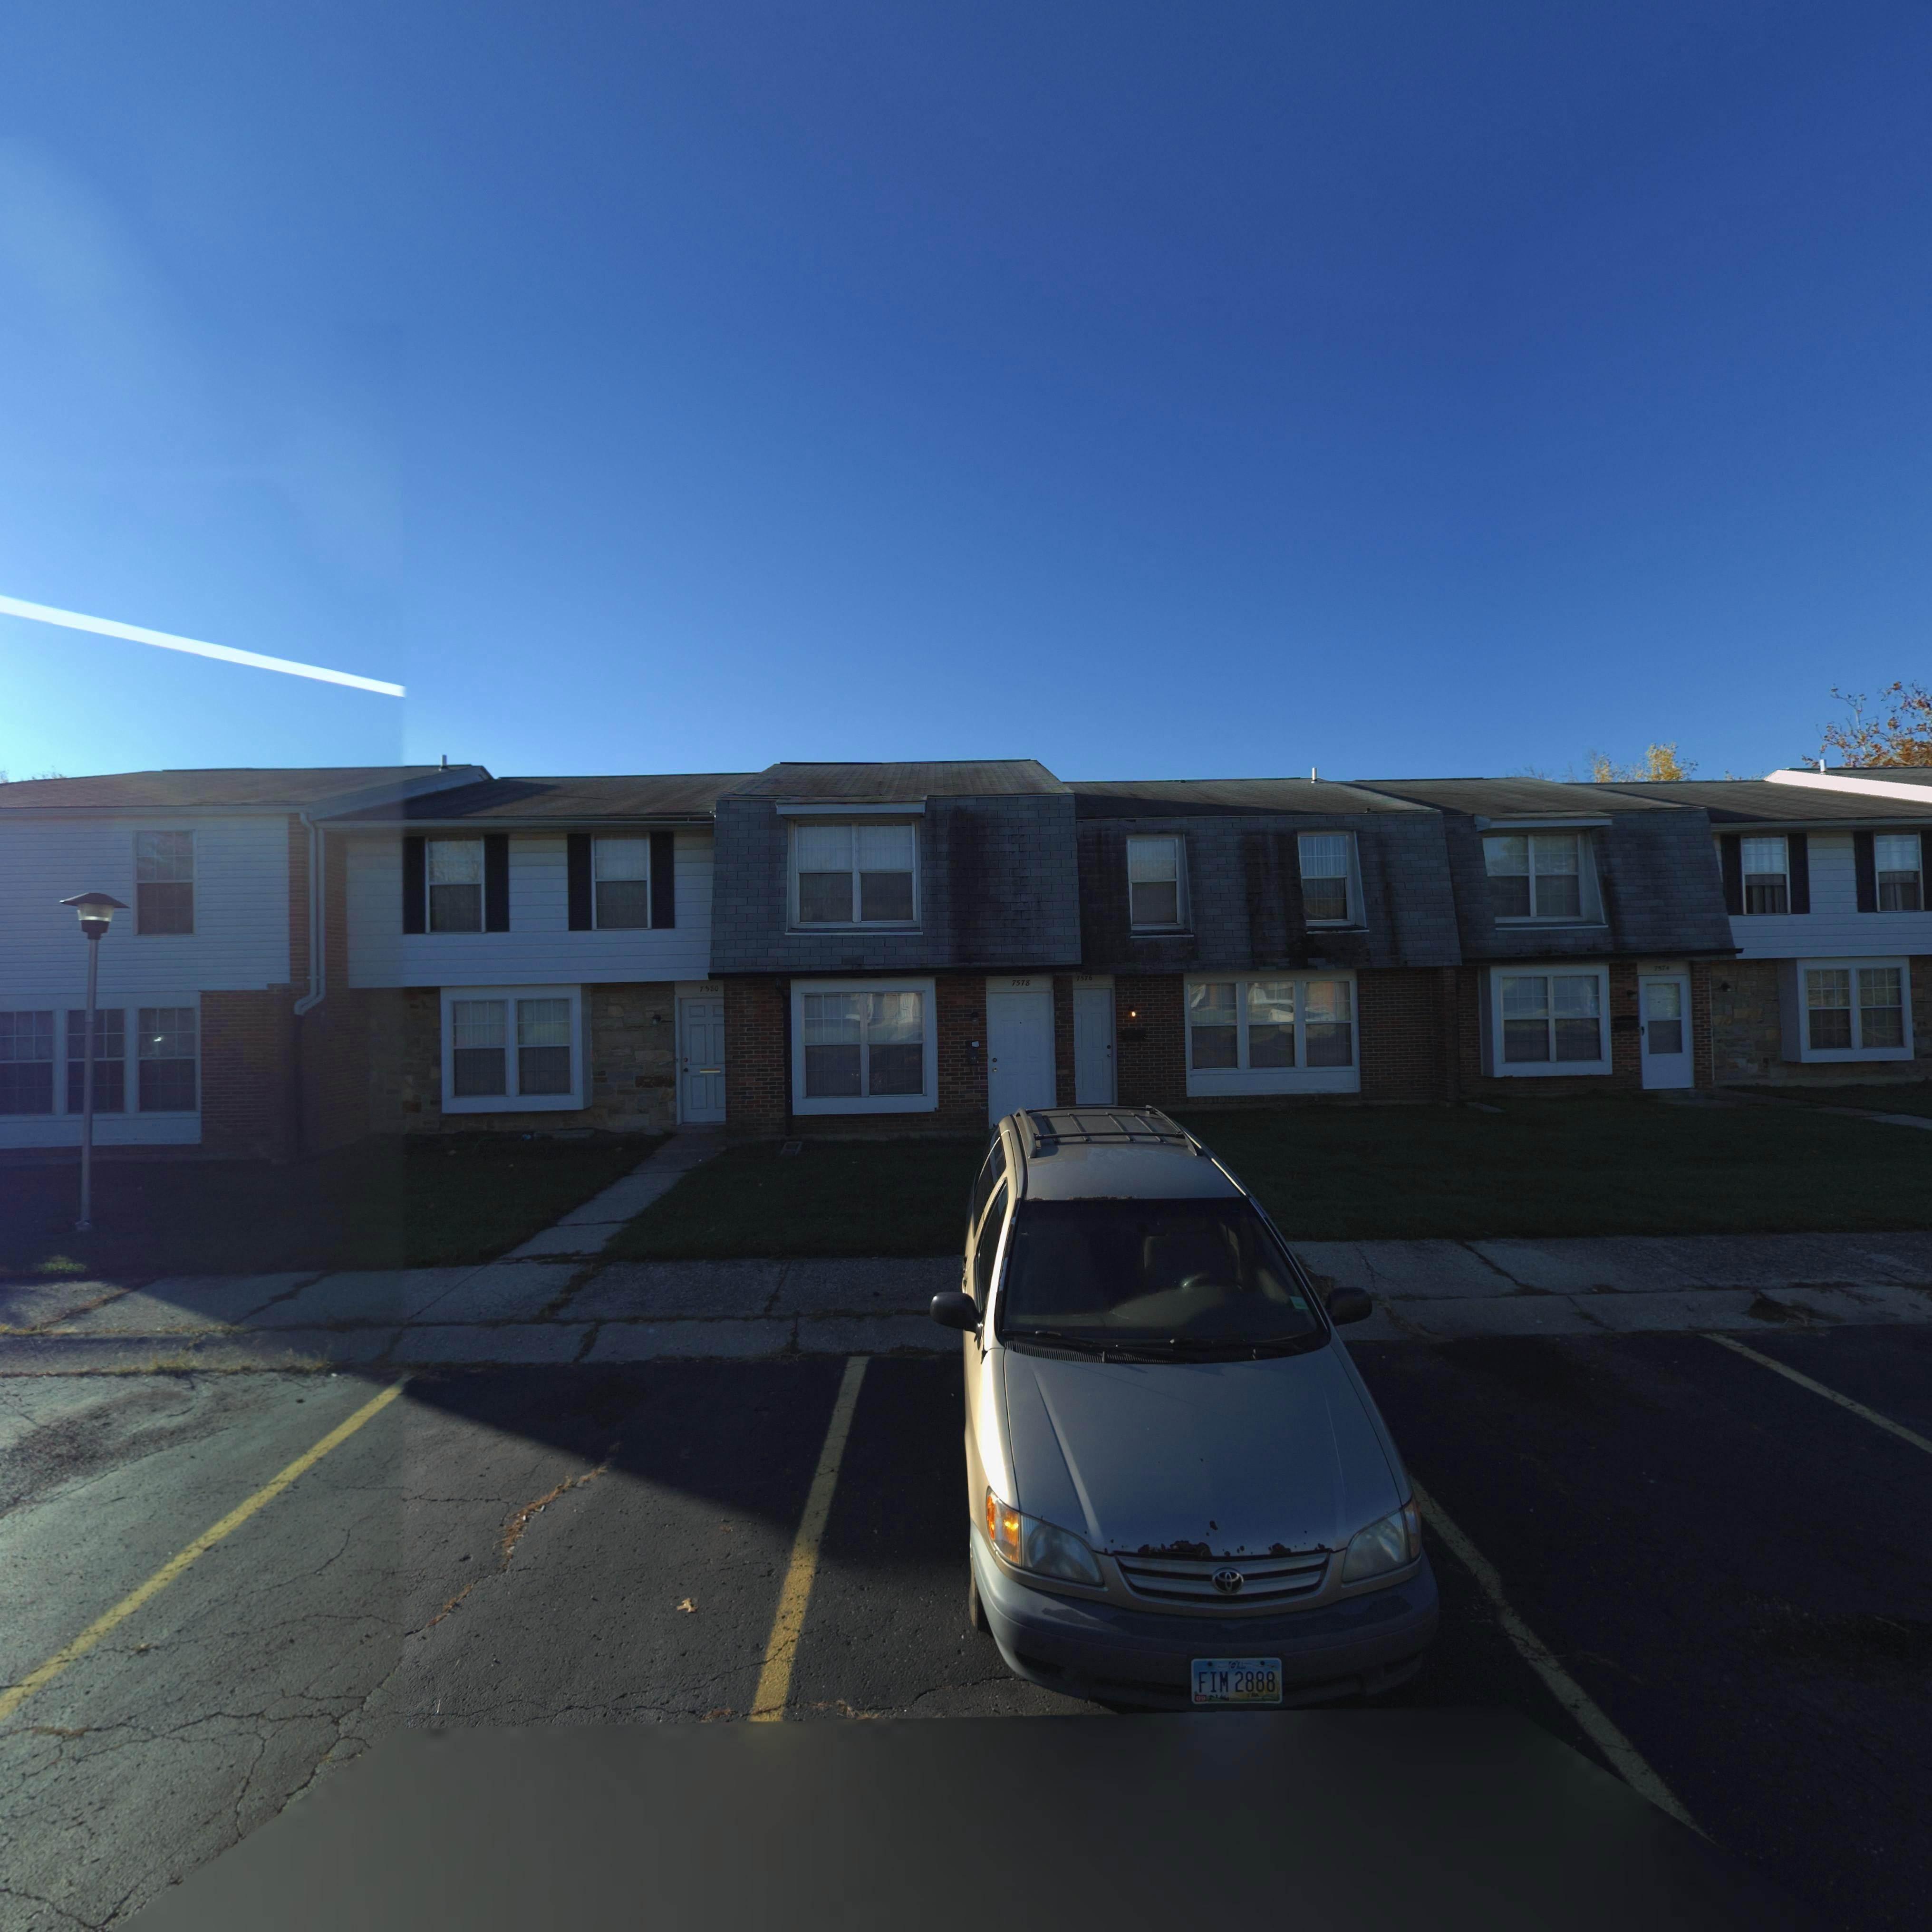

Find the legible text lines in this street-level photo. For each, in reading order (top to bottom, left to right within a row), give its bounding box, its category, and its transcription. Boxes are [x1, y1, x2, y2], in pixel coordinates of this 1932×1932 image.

[1653, 964, 1671, 972] StreetNumber: 7574
[1011, 979, 1032, 987] StreetNumber: 7578
[1075, 974, 1094, 983] StreetNumber: 7576
[698, 984, 720, 994] StreetNumber: 7580